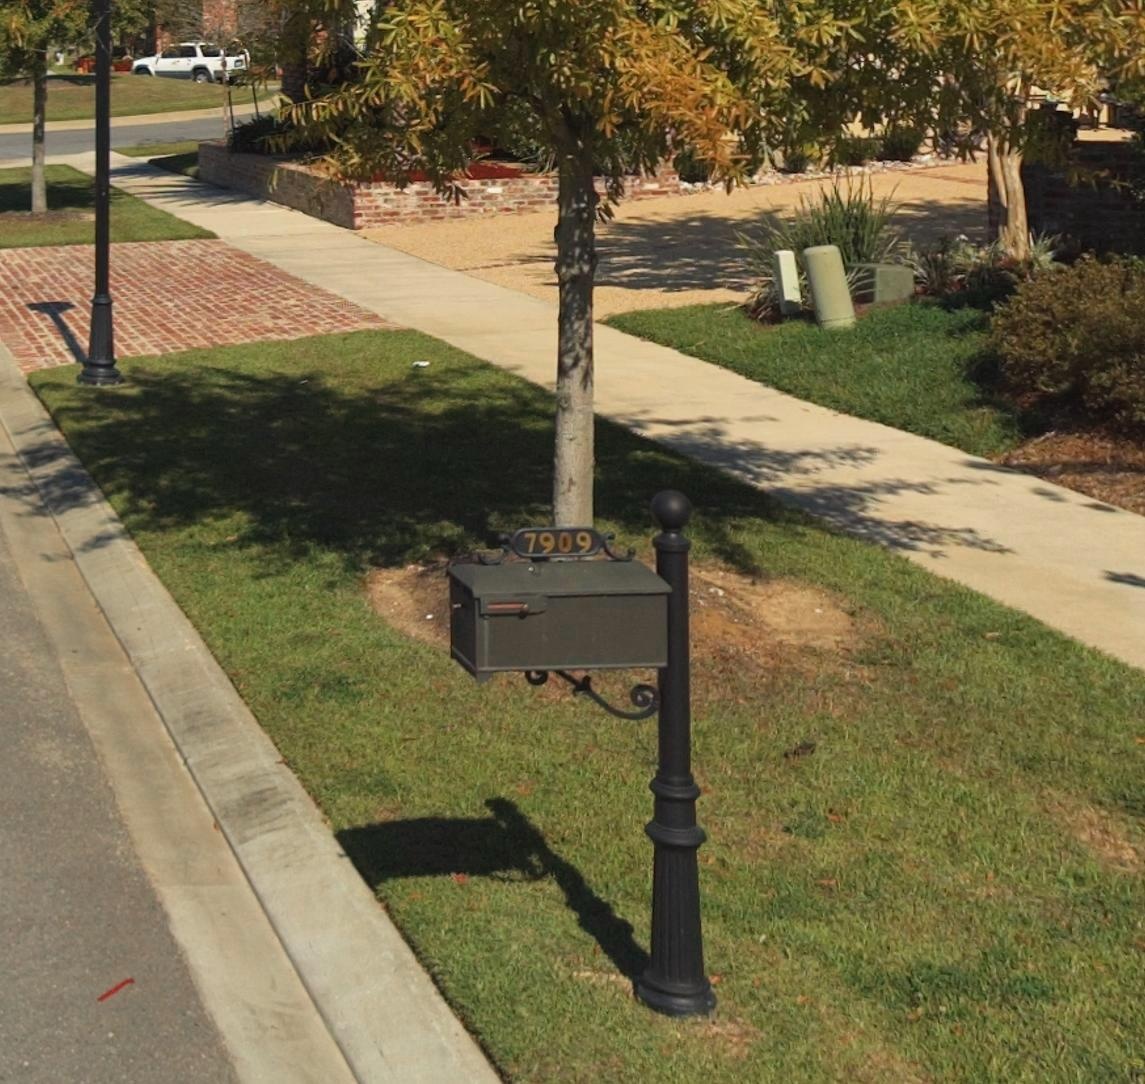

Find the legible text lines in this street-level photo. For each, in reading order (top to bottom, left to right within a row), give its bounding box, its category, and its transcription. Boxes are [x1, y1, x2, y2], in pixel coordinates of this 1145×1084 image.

[521, 531, 593, 553] StreetNumber: 7909